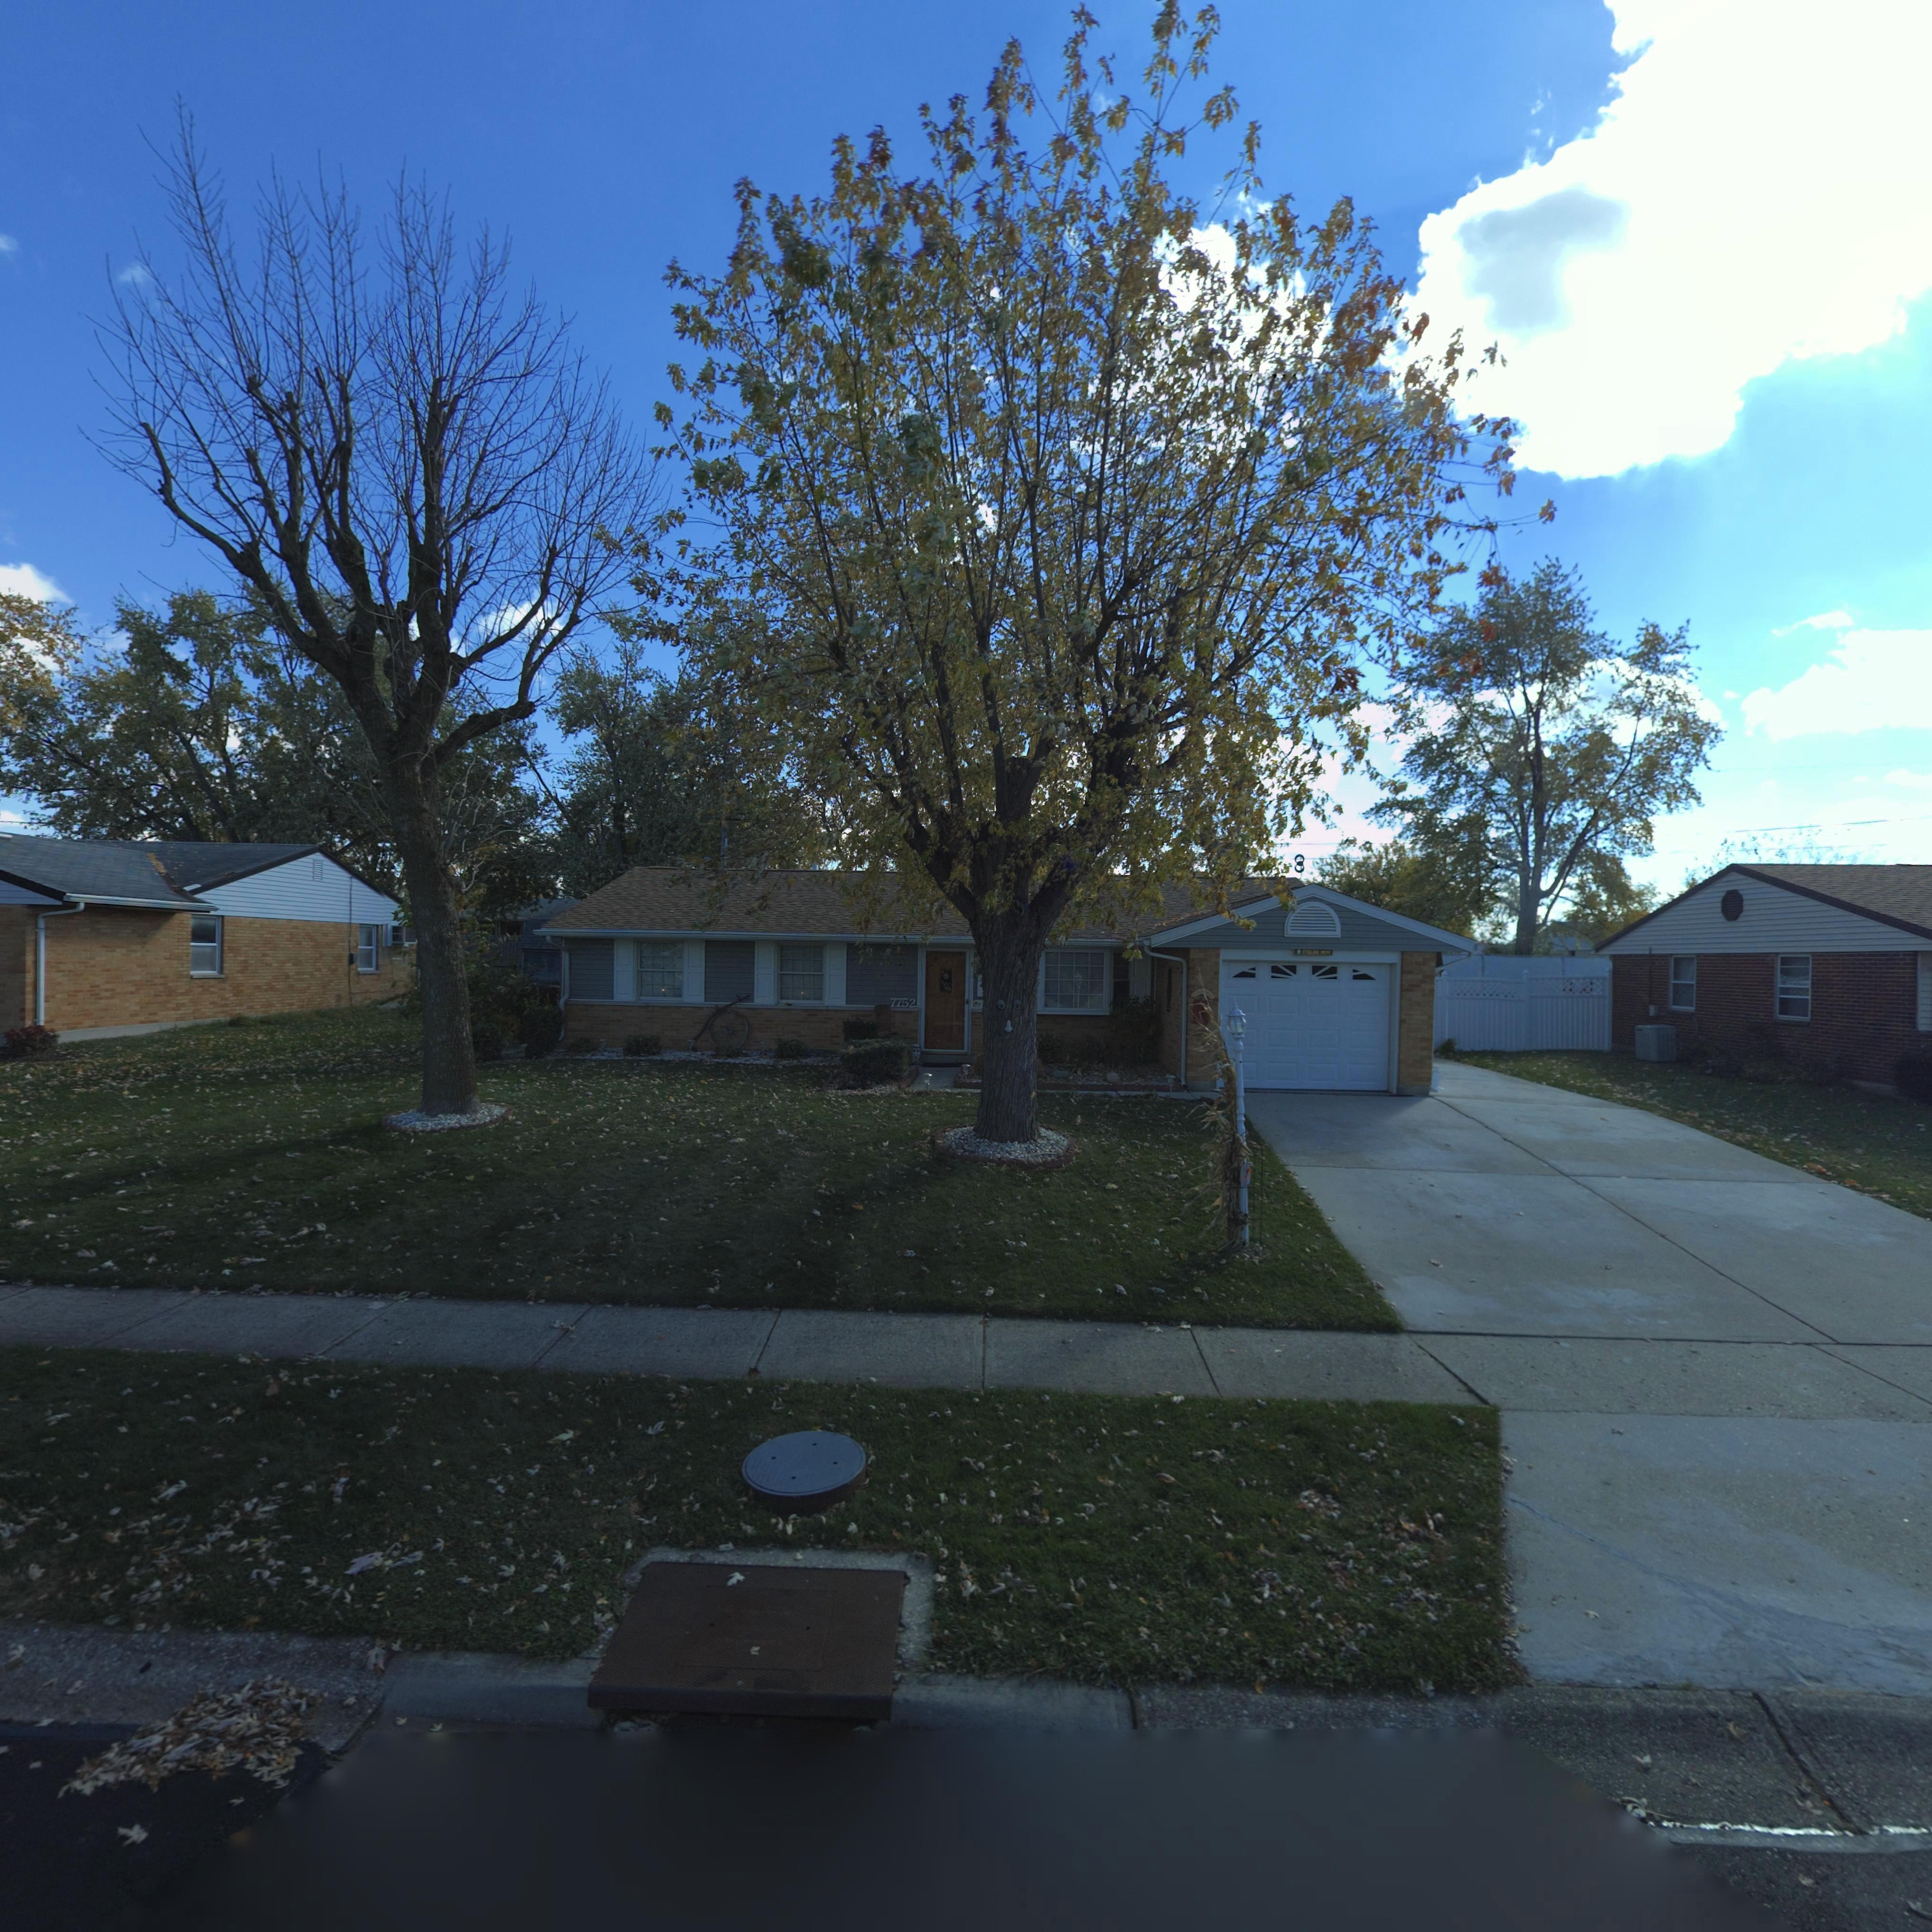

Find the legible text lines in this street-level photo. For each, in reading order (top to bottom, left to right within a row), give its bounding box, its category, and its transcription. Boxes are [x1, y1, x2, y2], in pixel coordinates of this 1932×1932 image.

[890, 997, 916, 1008] StreetNumber: 7752